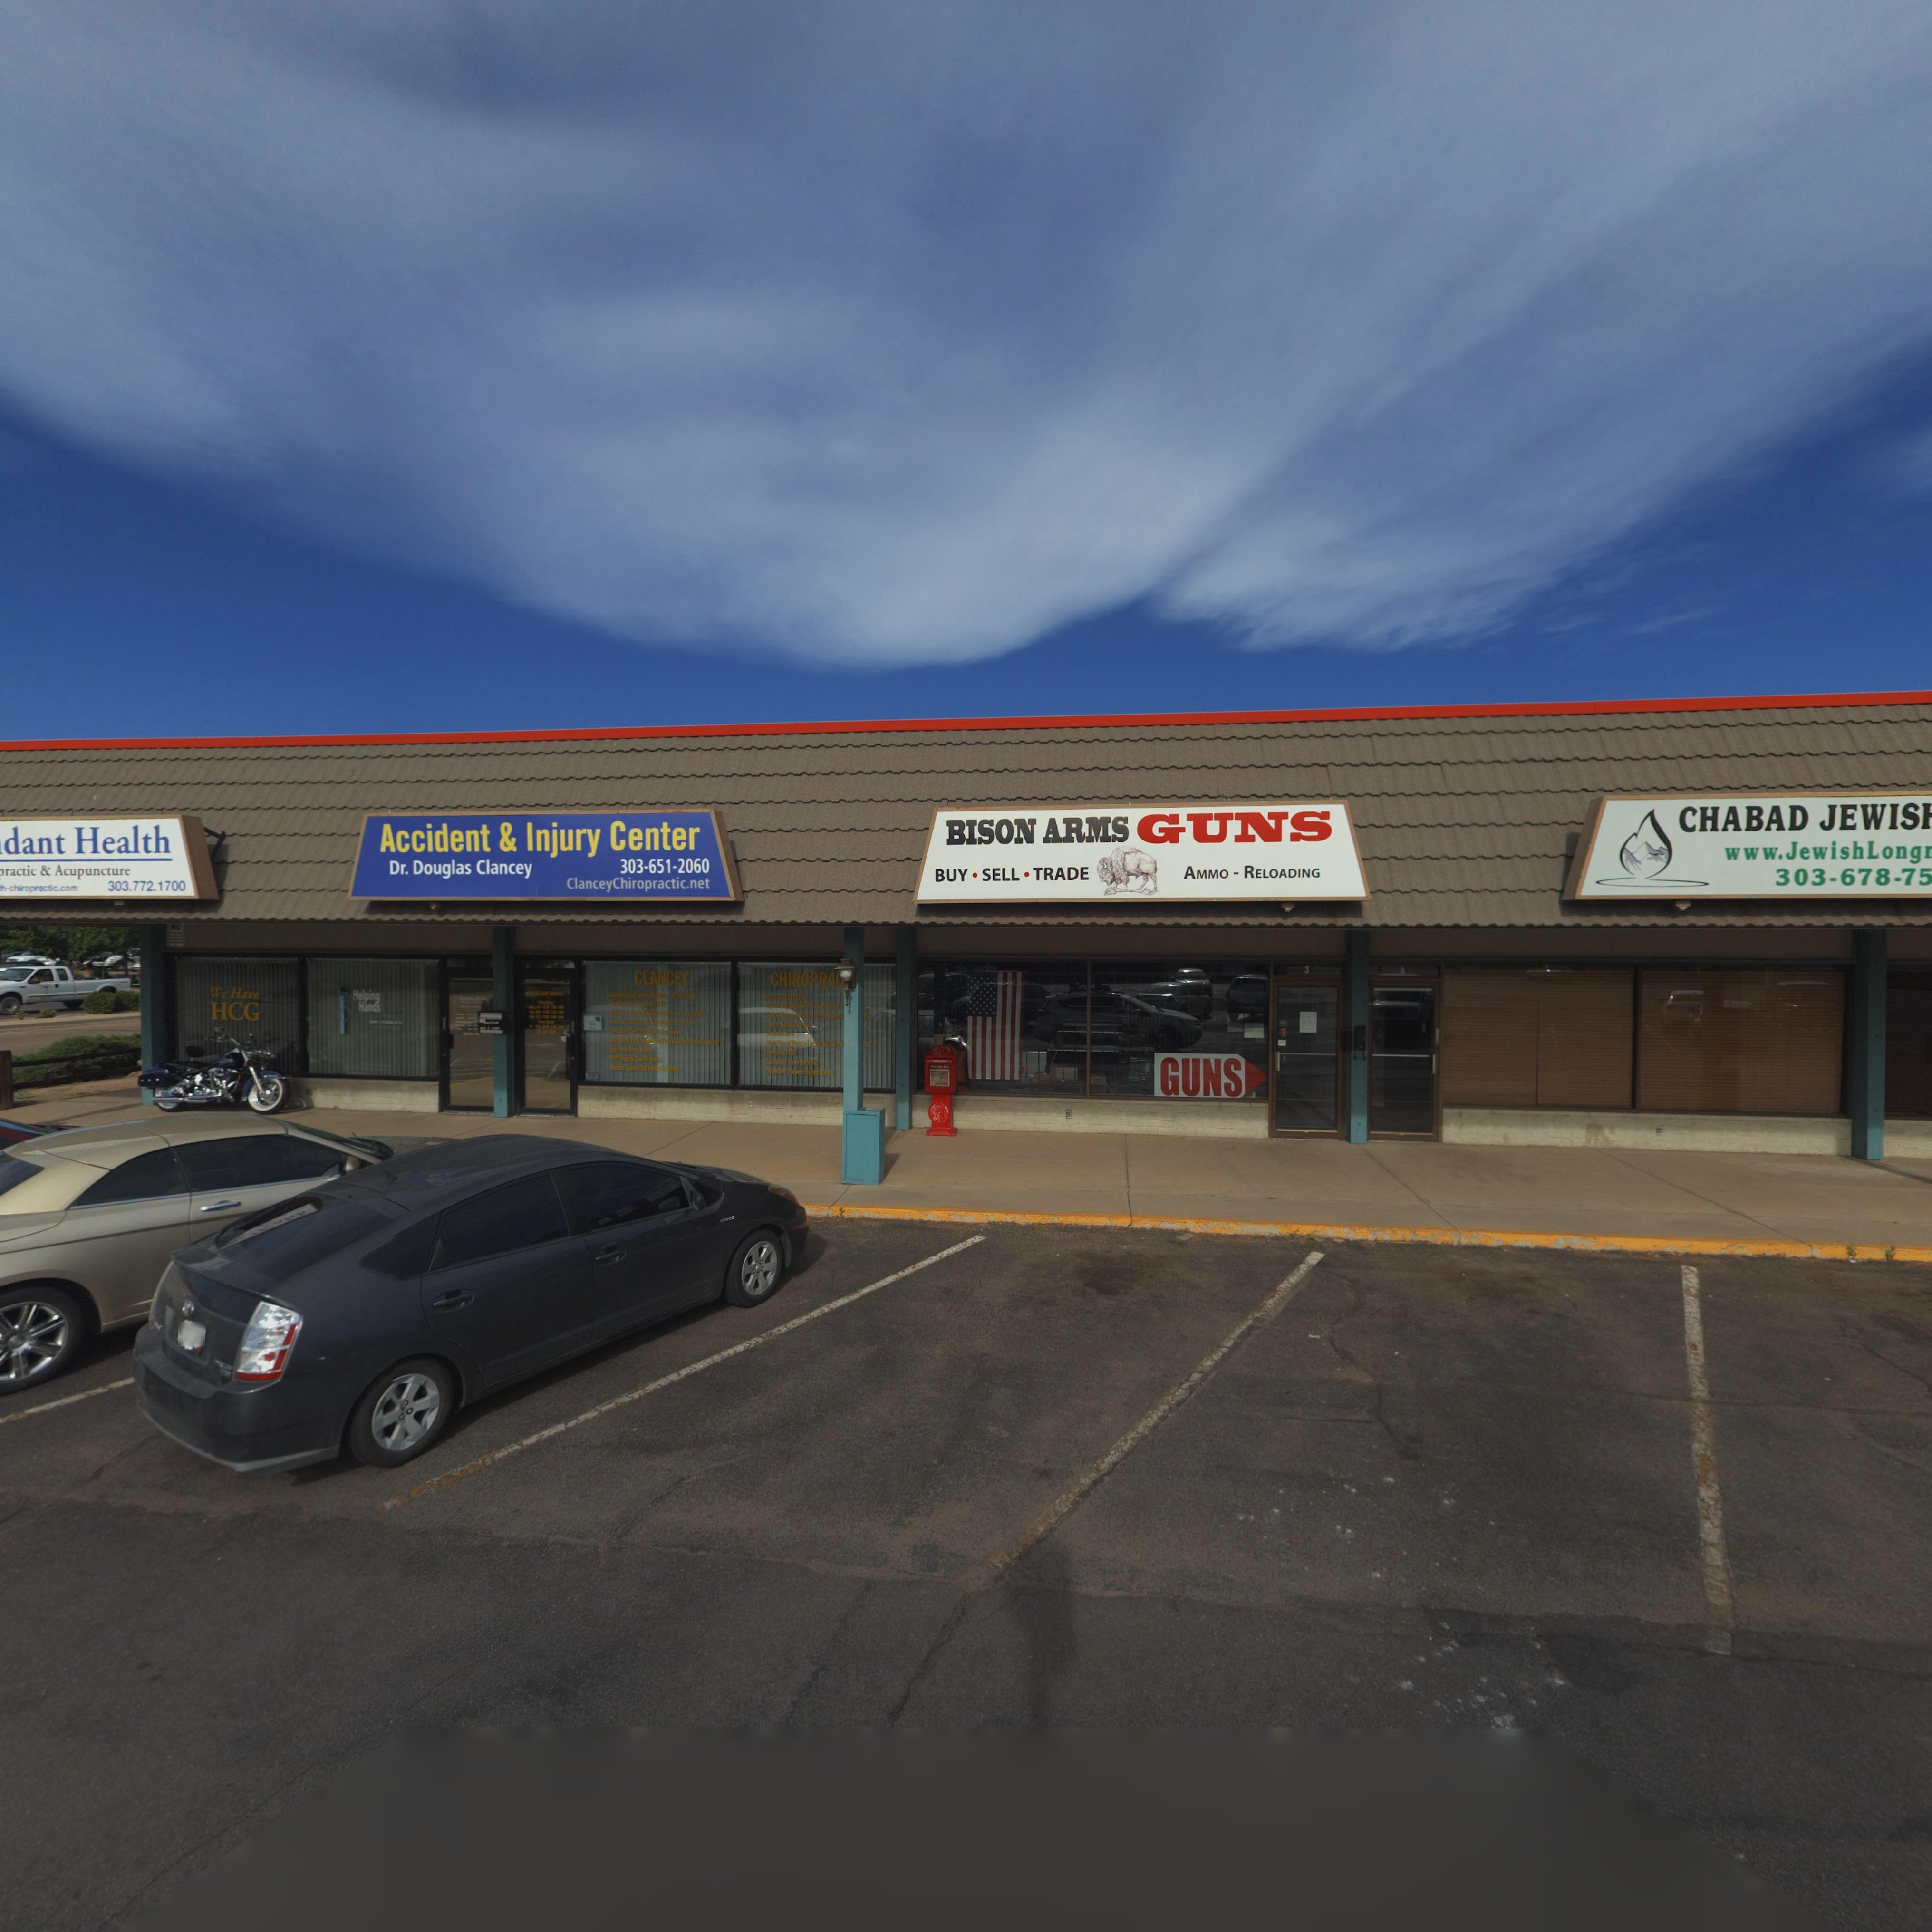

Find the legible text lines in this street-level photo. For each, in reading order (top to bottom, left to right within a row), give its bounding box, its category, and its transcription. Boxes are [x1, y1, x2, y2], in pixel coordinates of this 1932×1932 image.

[3, 823, 172, 855] BusinessName: dant Health
[378, 819, 702, 860] BusinessName: Accident & Injury Center
[943, 809, 1334, 847] BusinessName: BISON ARMS GUNS
[1677, 802, 1921, 833] BusinessName: CHABAD JEWIS
[1304, 965, 1309, 974] StreetNumber: 3
[1399, 966, 1404, 974] StreetNumber: 4